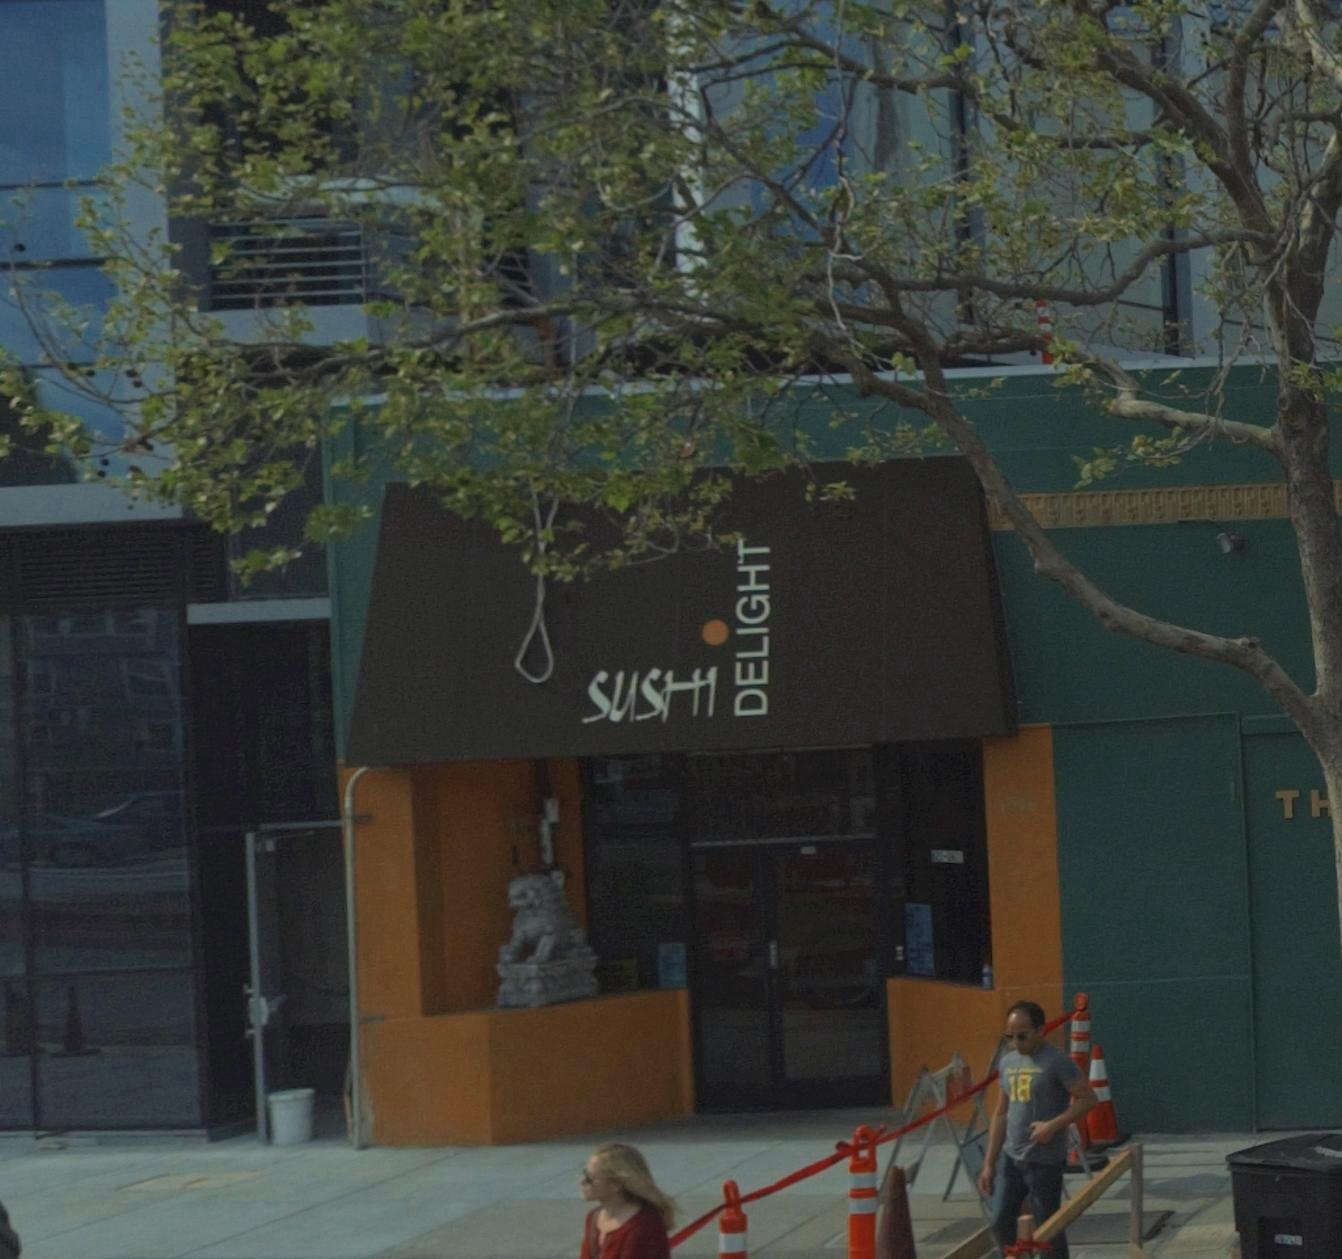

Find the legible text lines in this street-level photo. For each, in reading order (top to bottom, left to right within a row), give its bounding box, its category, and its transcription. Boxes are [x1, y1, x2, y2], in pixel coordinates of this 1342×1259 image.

[729, 535, 774, 720] BusinessName: DELIGHT
[577, 662, 721, 728] BusinessName: SUSHI
[1269, 786, 1304, 823] BusinessName: T
[1005, 1072, 1035, 1106] None: 18